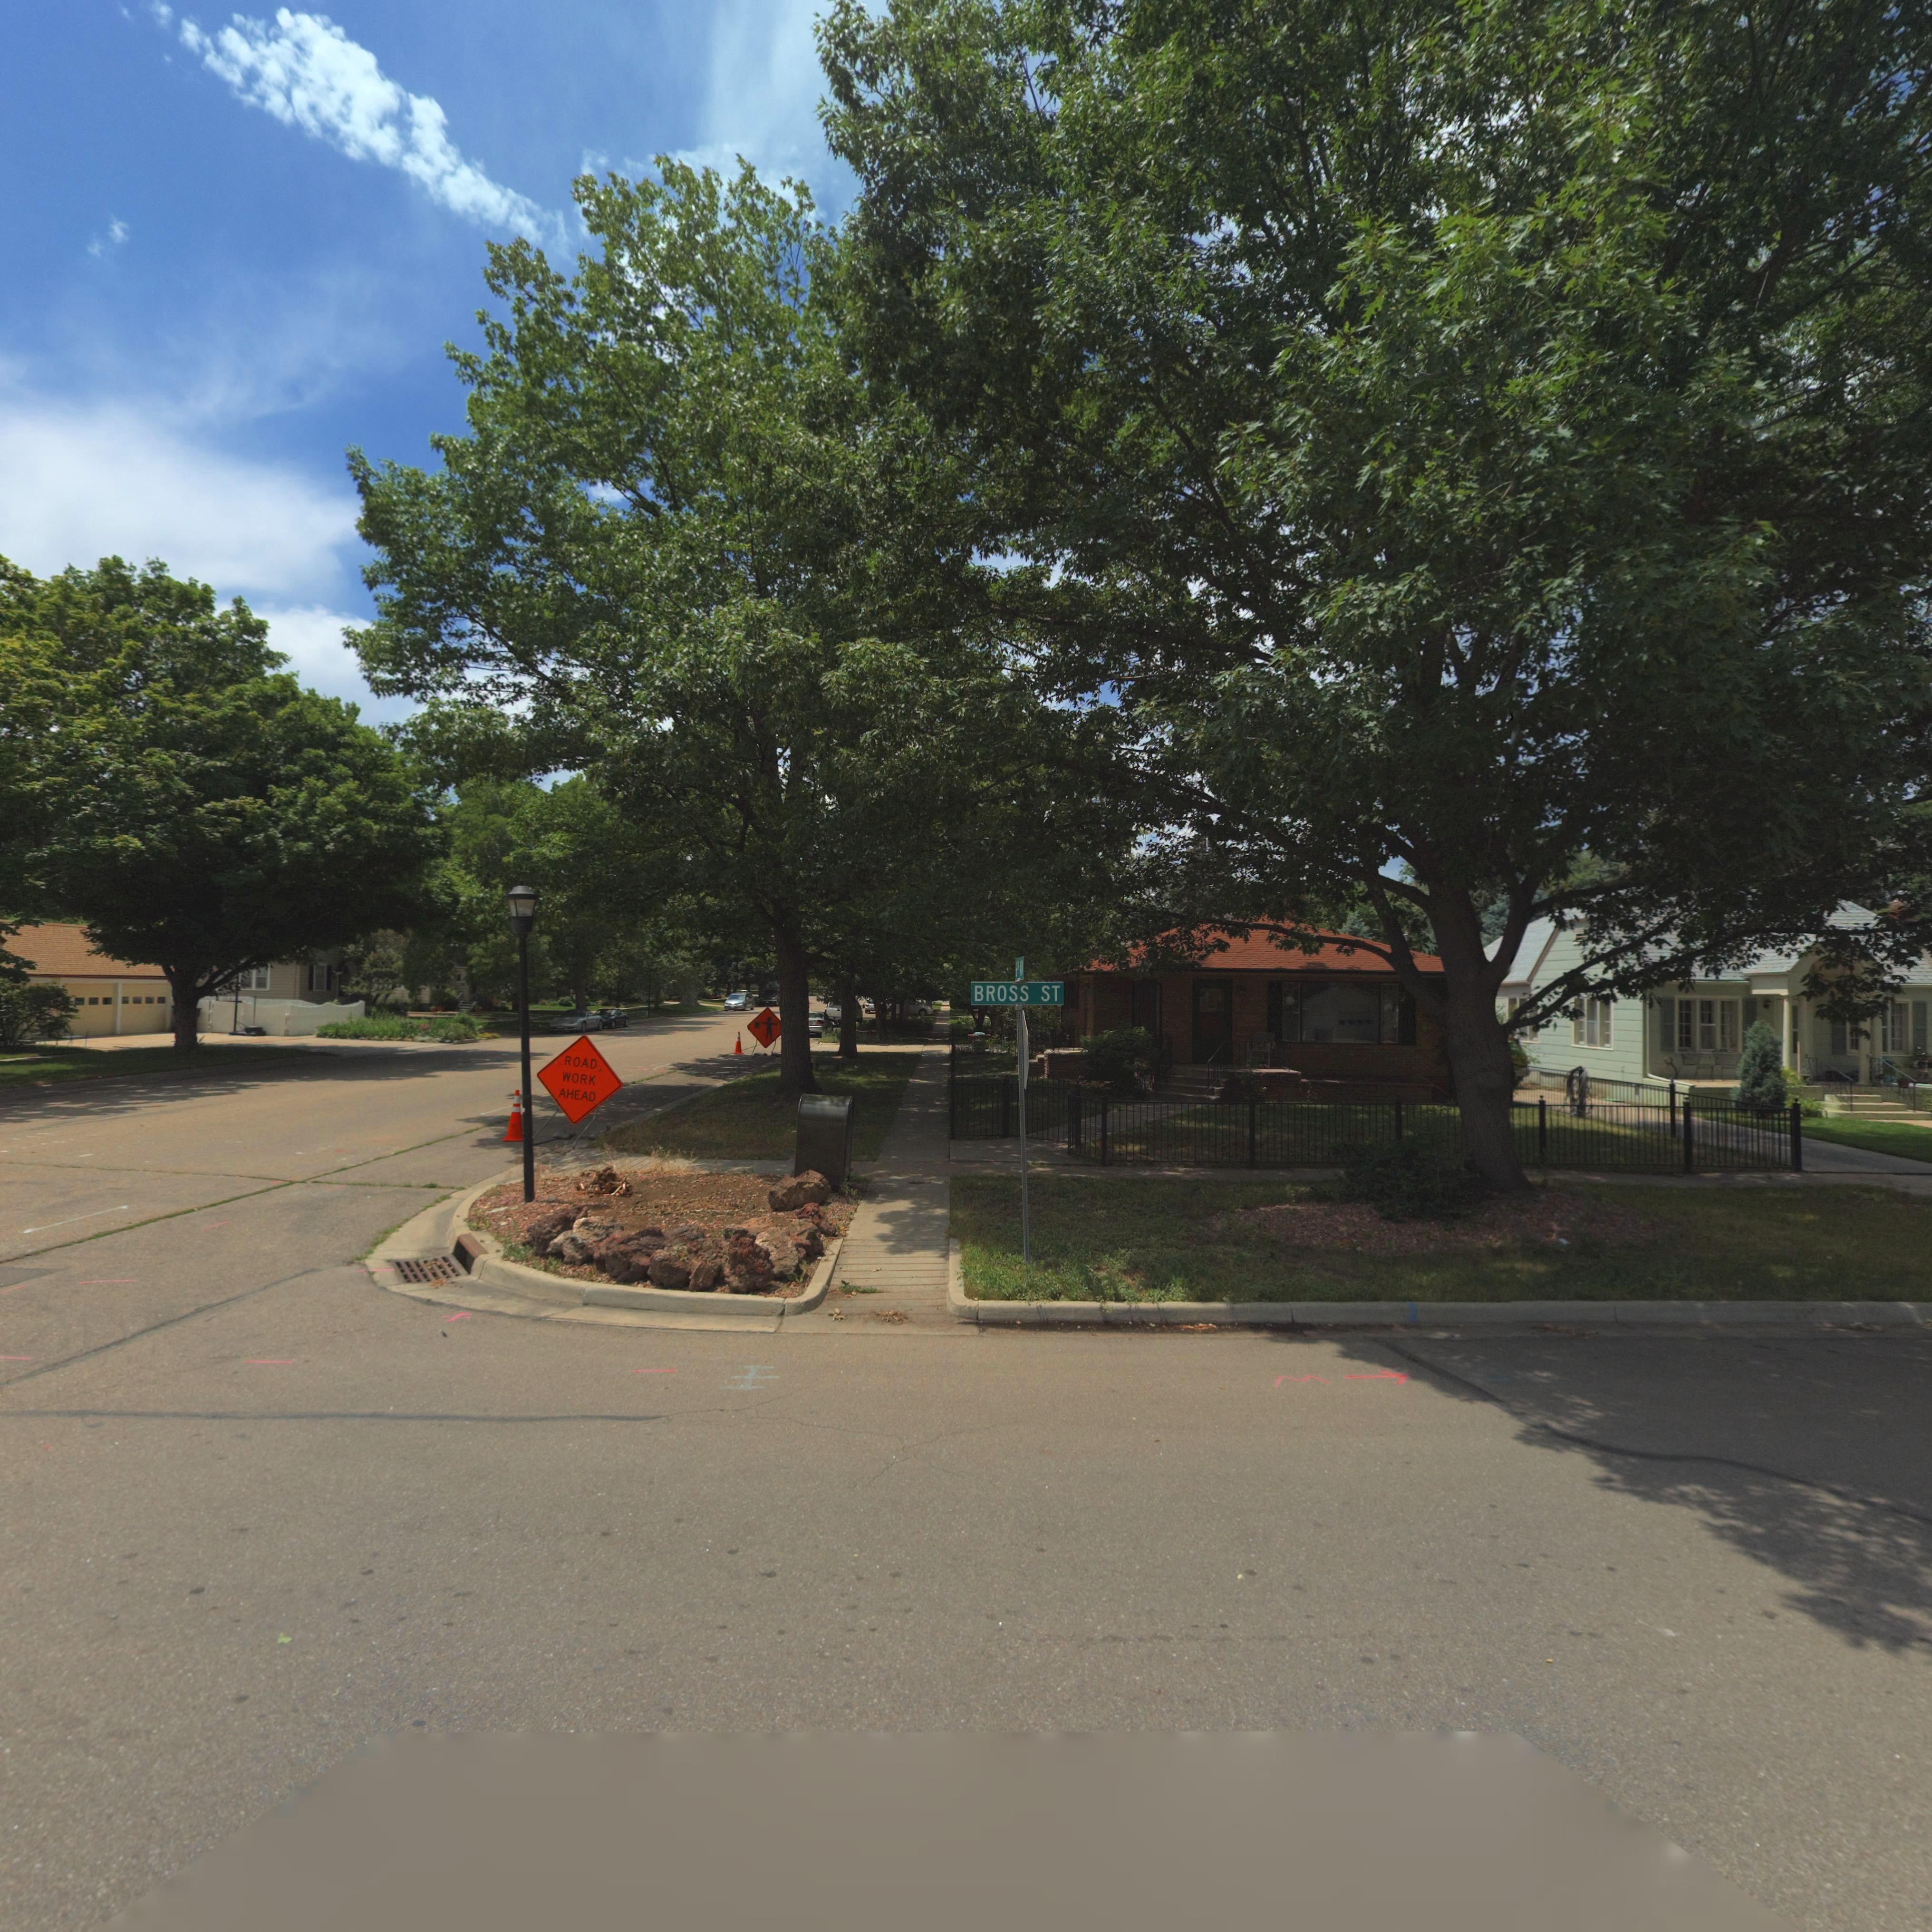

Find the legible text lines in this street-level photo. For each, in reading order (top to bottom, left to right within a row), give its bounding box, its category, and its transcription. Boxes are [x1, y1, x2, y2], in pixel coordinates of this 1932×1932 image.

[1015, 959, 1024, 977] StreetName: 6** **
[974, 985, 1061, 1002] StreetName: BROSS ST